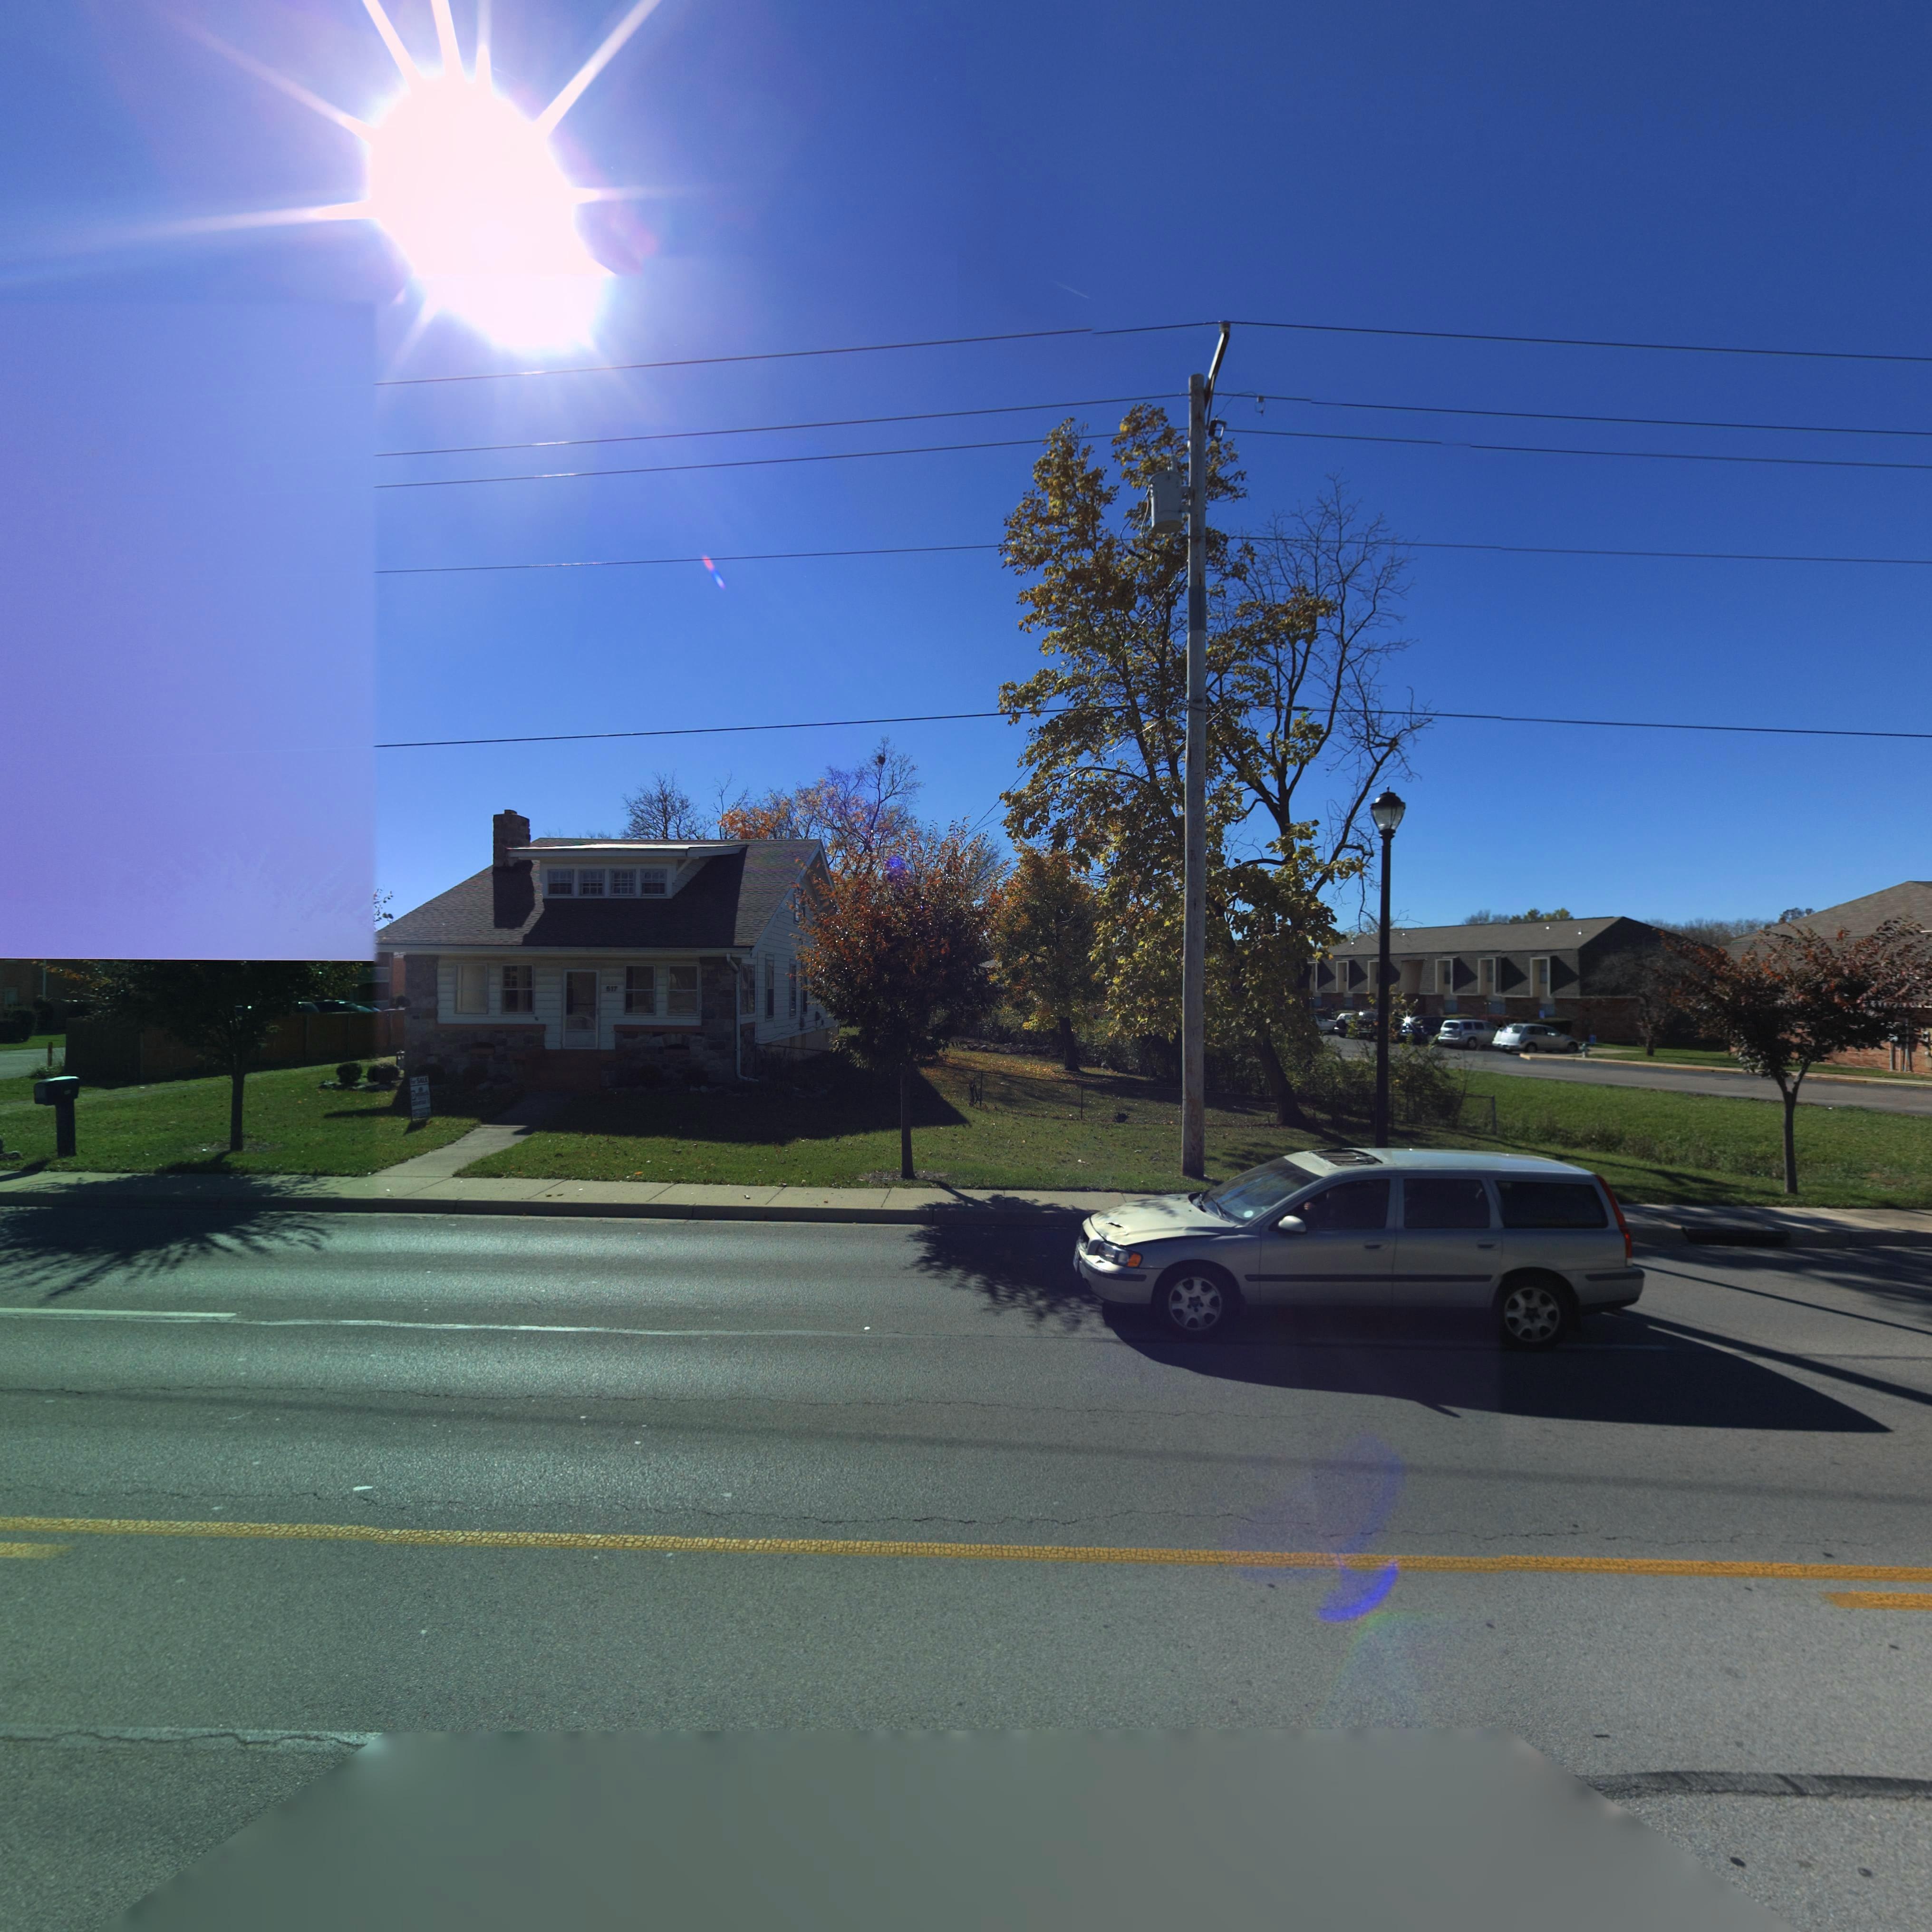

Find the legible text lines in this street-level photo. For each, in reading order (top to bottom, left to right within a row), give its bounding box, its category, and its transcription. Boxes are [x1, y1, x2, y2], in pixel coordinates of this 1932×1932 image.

[605, 985, 619, 993] StreetNumber: 517
[410, 1076, 428, 1085] None: for SALE